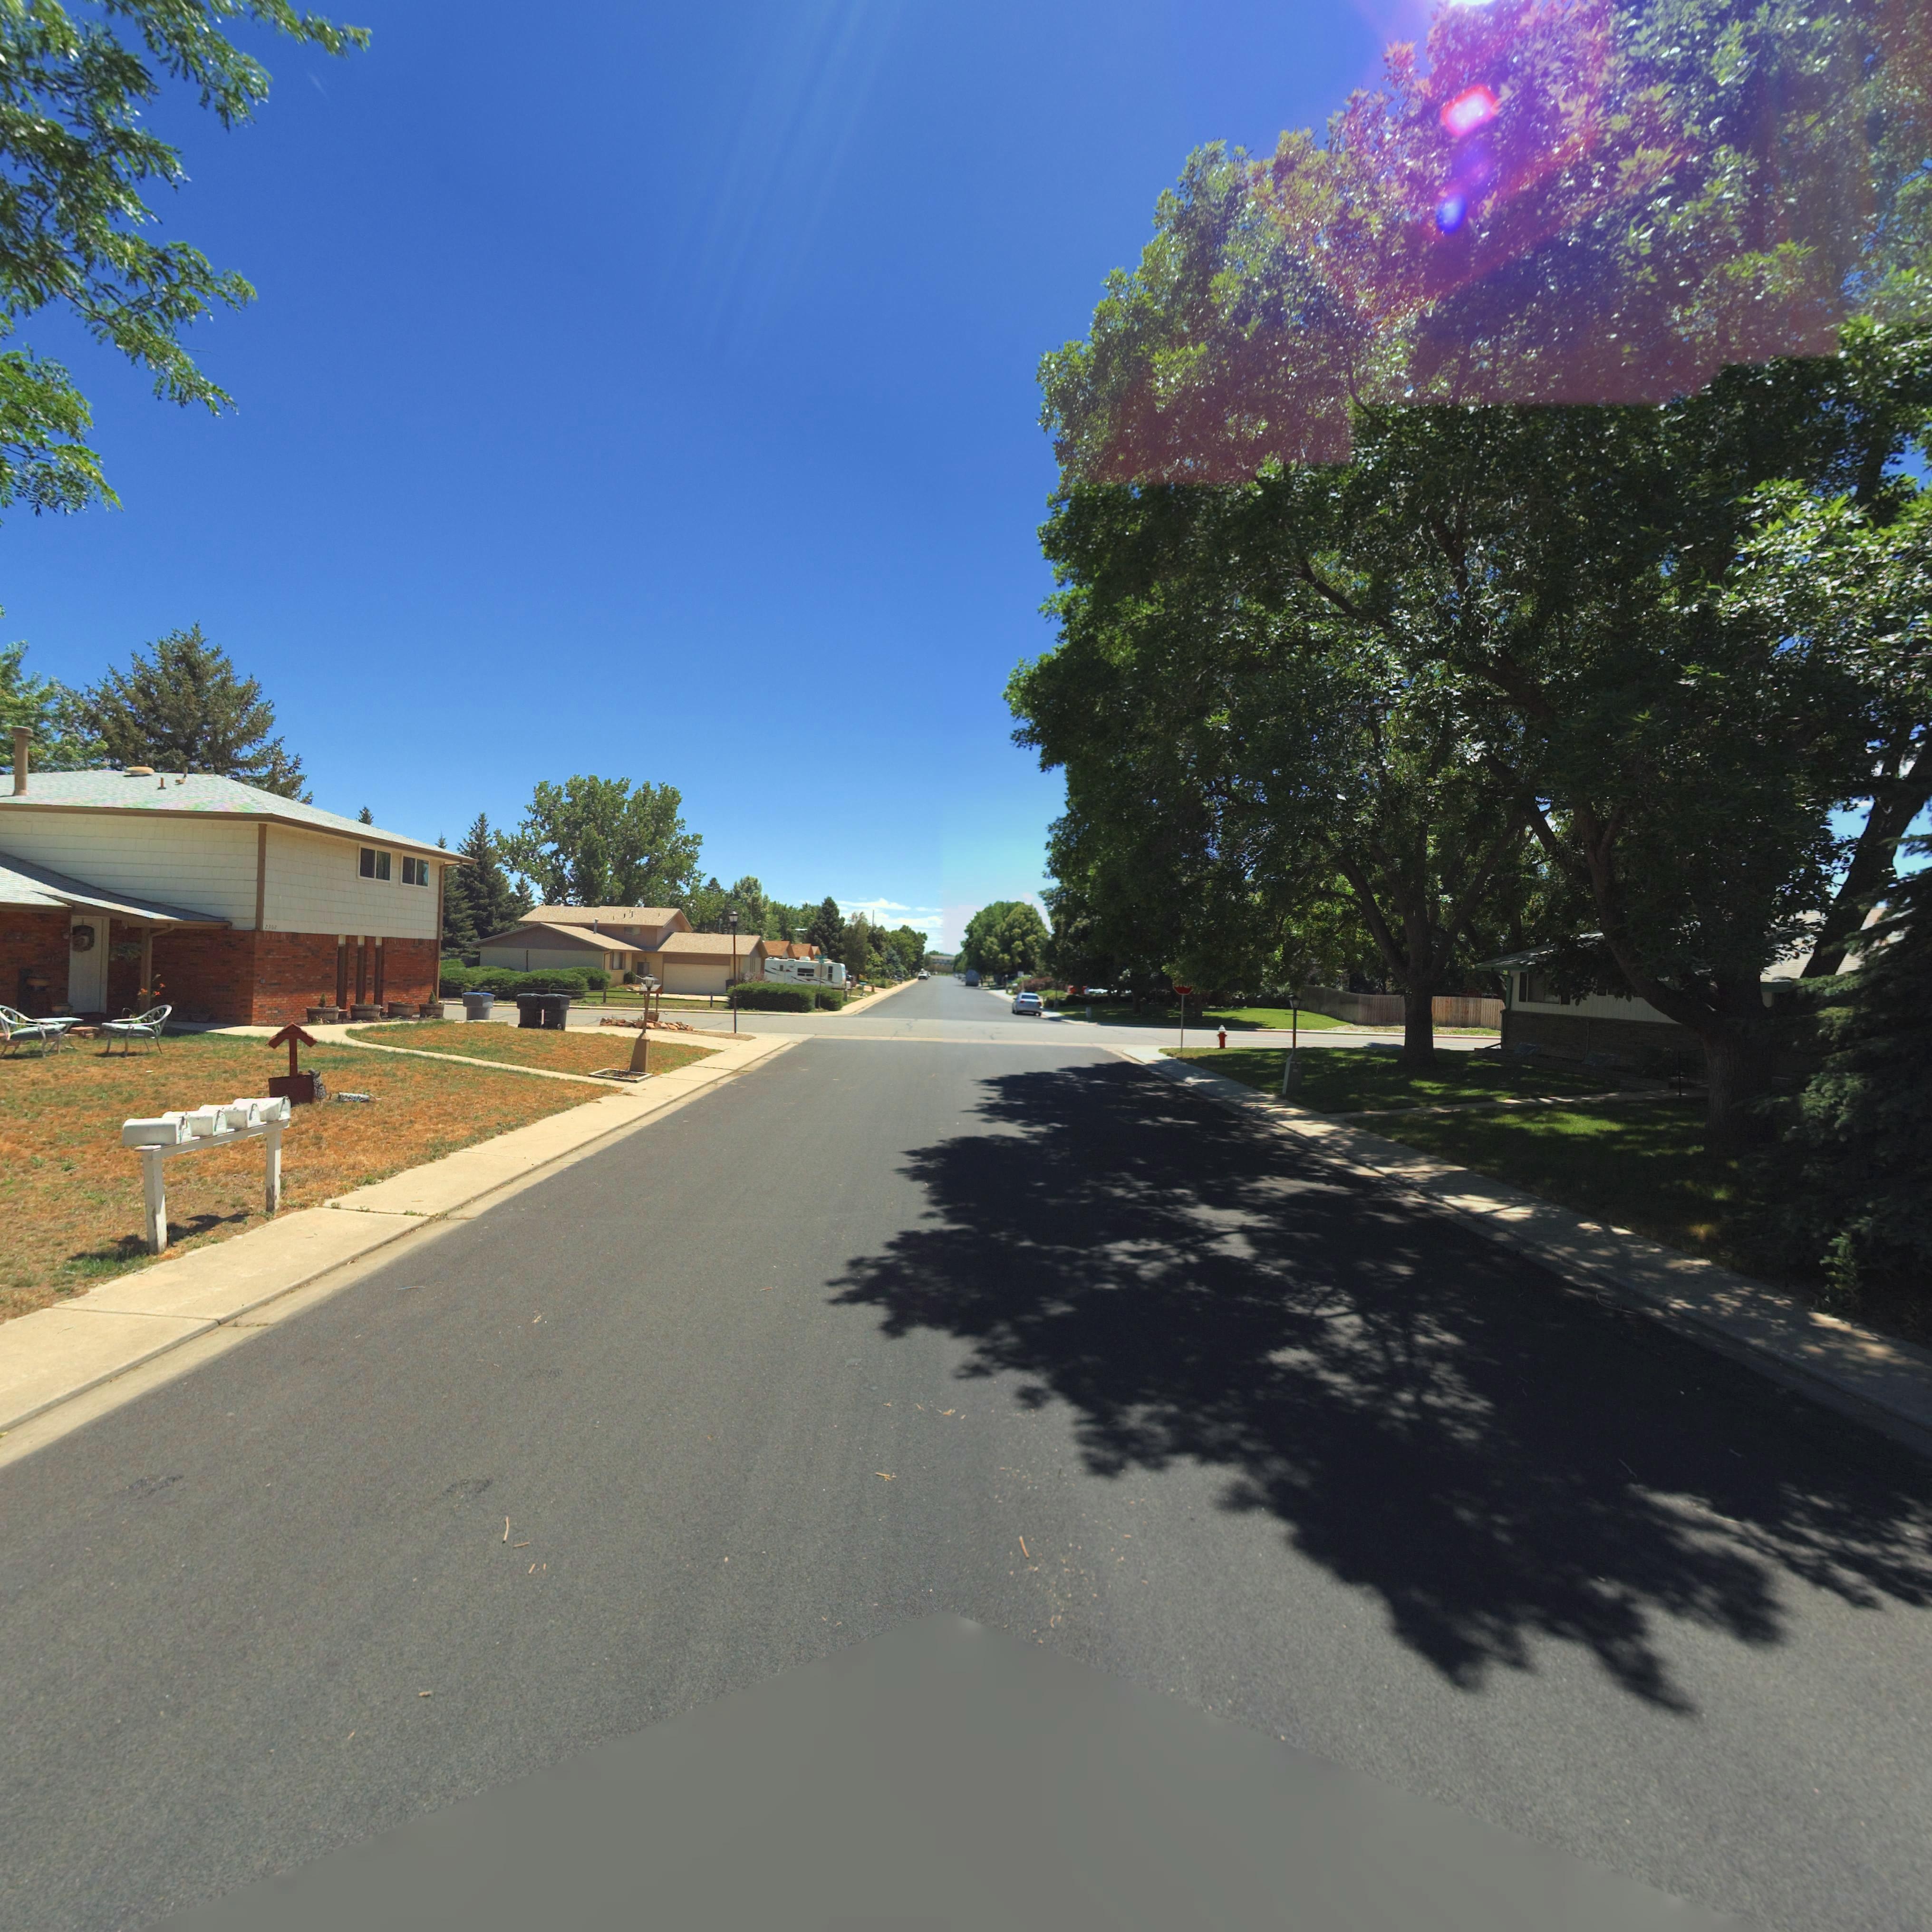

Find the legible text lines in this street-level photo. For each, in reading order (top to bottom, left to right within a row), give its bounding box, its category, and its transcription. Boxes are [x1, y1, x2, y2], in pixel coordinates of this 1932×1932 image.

[264, 924, 277, 929] StreetNumber: 2302